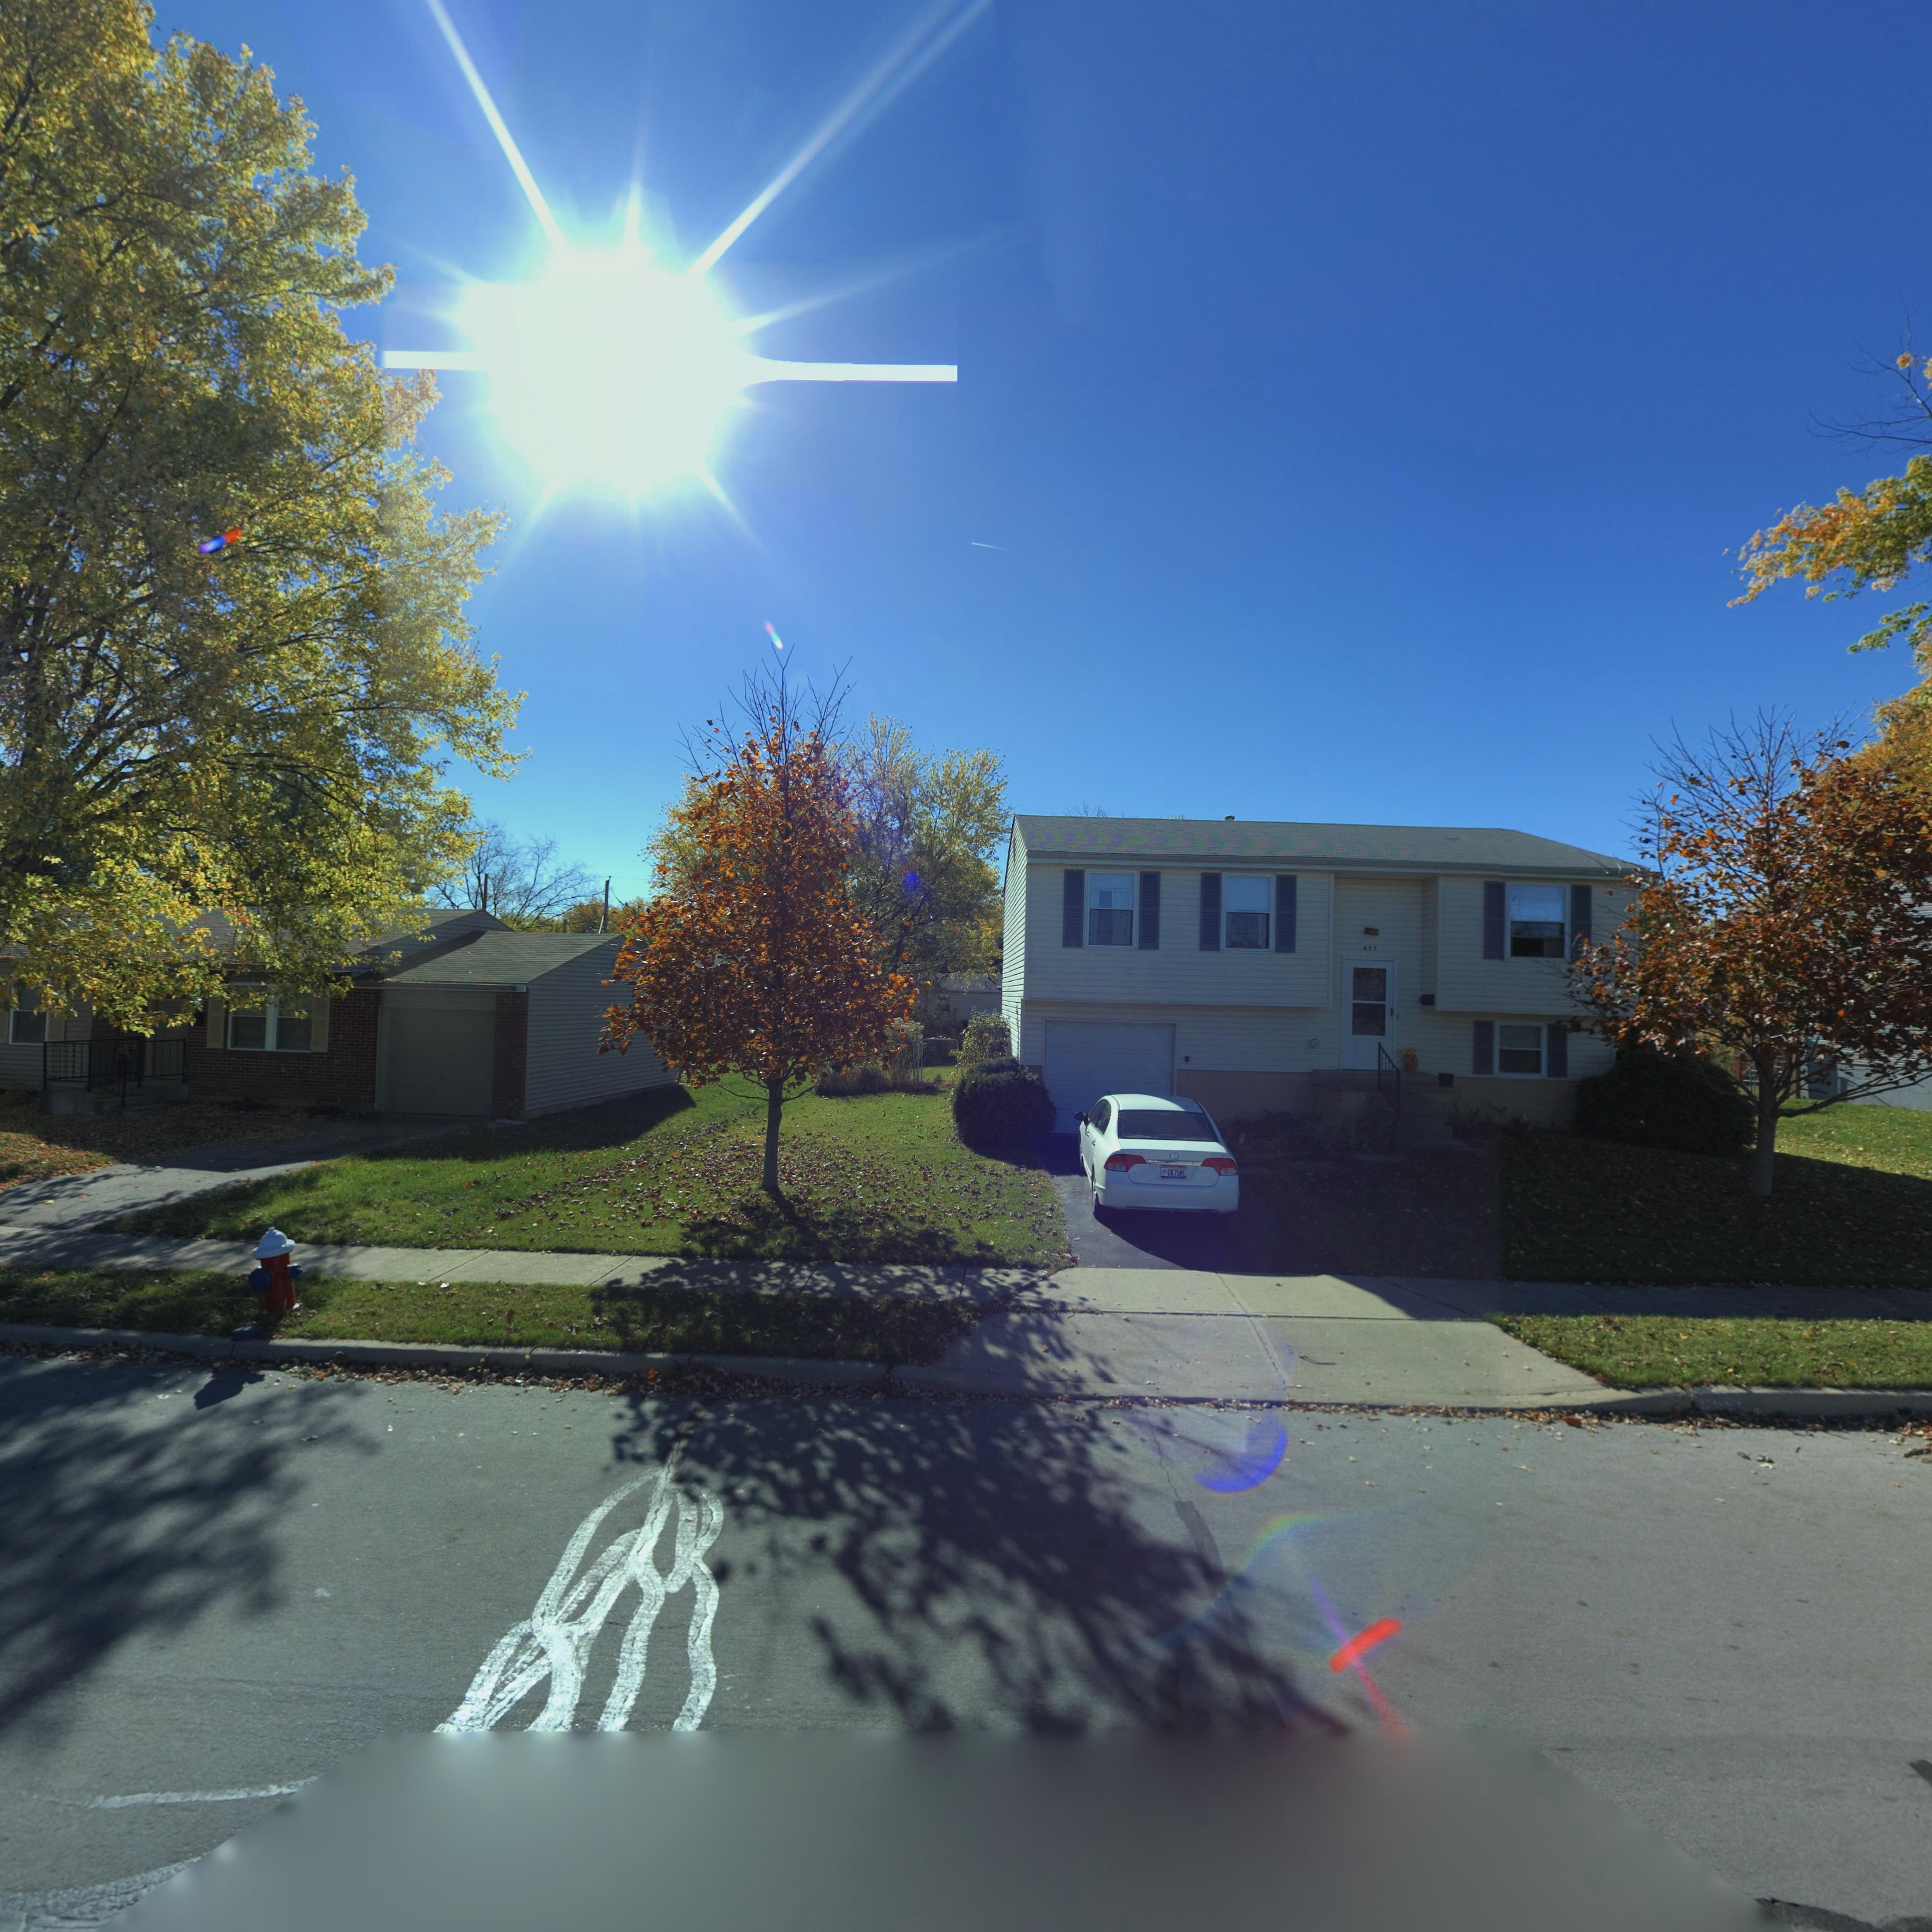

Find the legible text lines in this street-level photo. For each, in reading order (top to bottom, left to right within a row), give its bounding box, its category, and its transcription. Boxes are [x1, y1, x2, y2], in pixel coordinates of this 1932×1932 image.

[1363, 945, 1377, 951] StreetNumber: 655
[435, 996, 447, 1003] StreetNumber: 6**
[1166, 1168, 1186, 1178] None: D*75*E